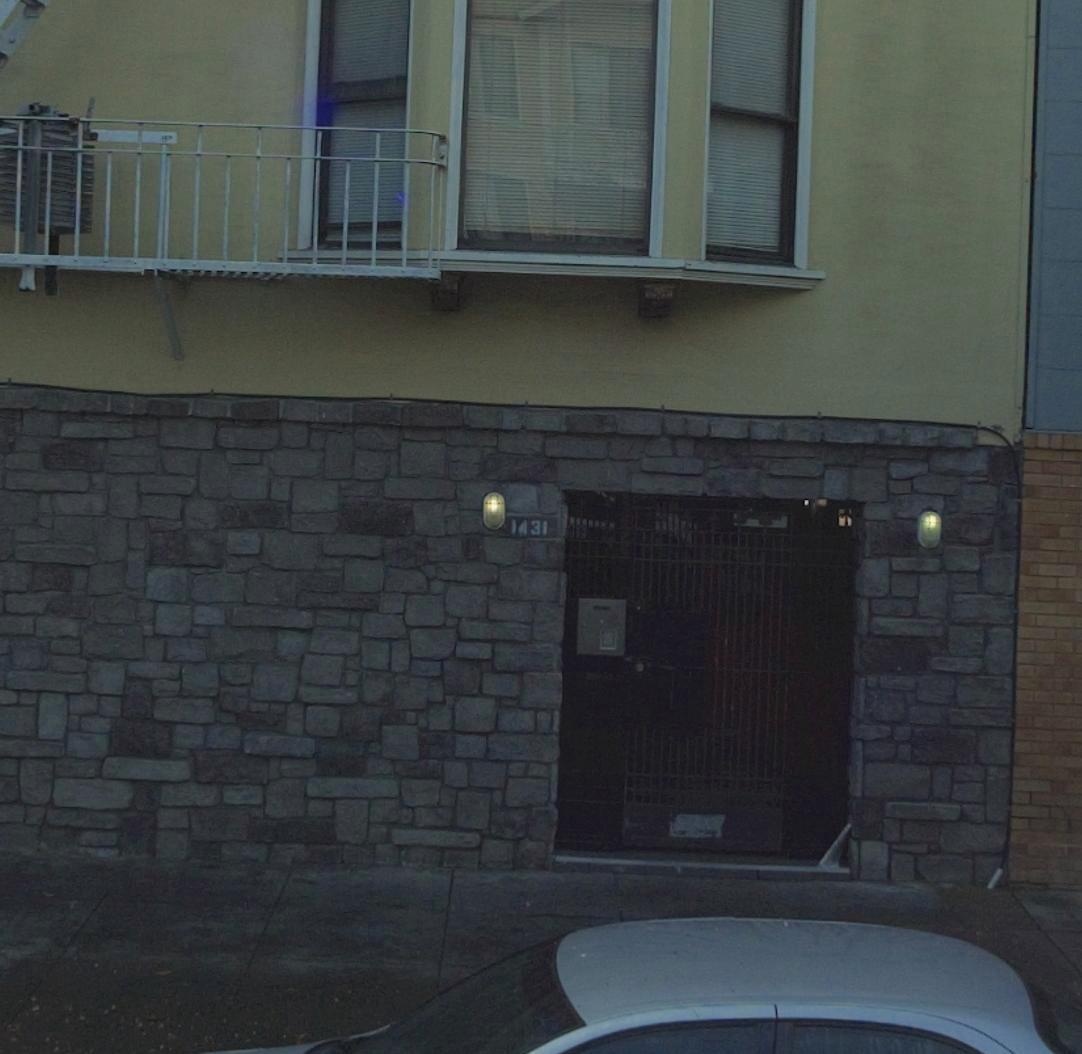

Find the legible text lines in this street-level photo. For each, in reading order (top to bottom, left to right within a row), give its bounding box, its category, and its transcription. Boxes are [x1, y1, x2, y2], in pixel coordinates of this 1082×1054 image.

[509, 516, 550, 539] StreetNumber: 1431